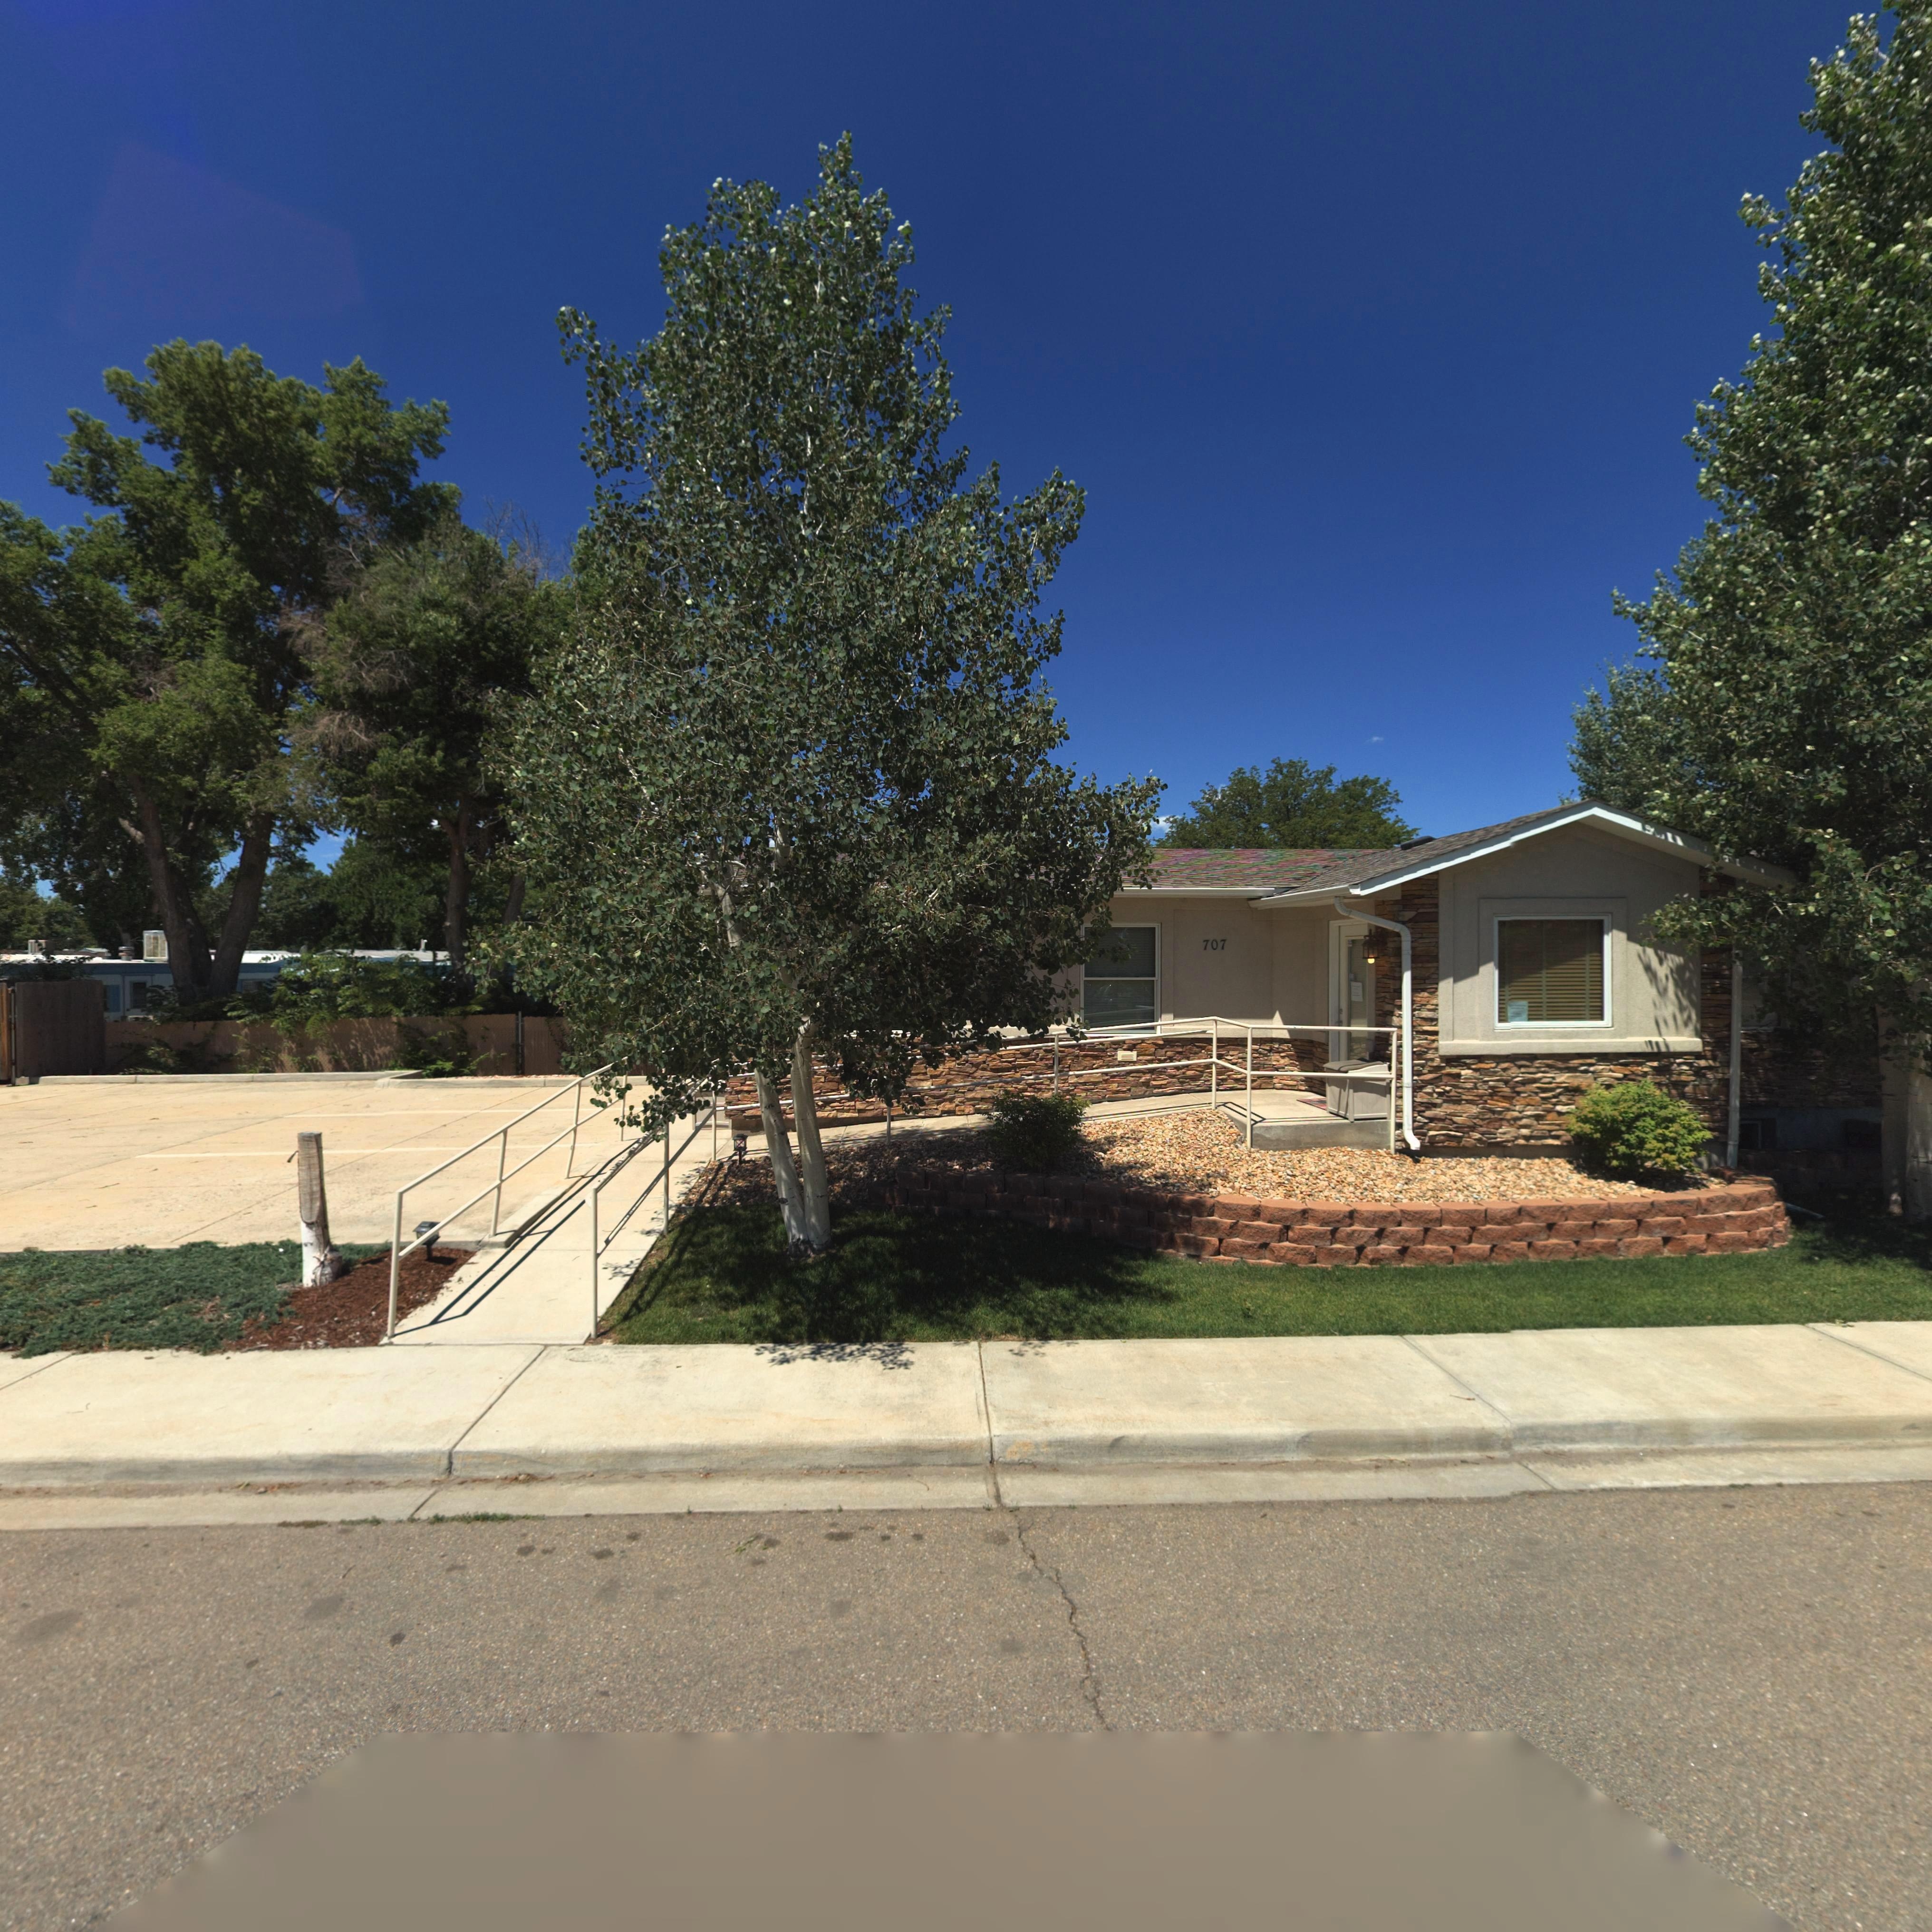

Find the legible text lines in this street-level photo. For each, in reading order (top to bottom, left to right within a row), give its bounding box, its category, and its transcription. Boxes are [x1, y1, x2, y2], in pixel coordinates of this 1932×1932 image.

[1202, 937, 1227, 950] StreetNumber: 707